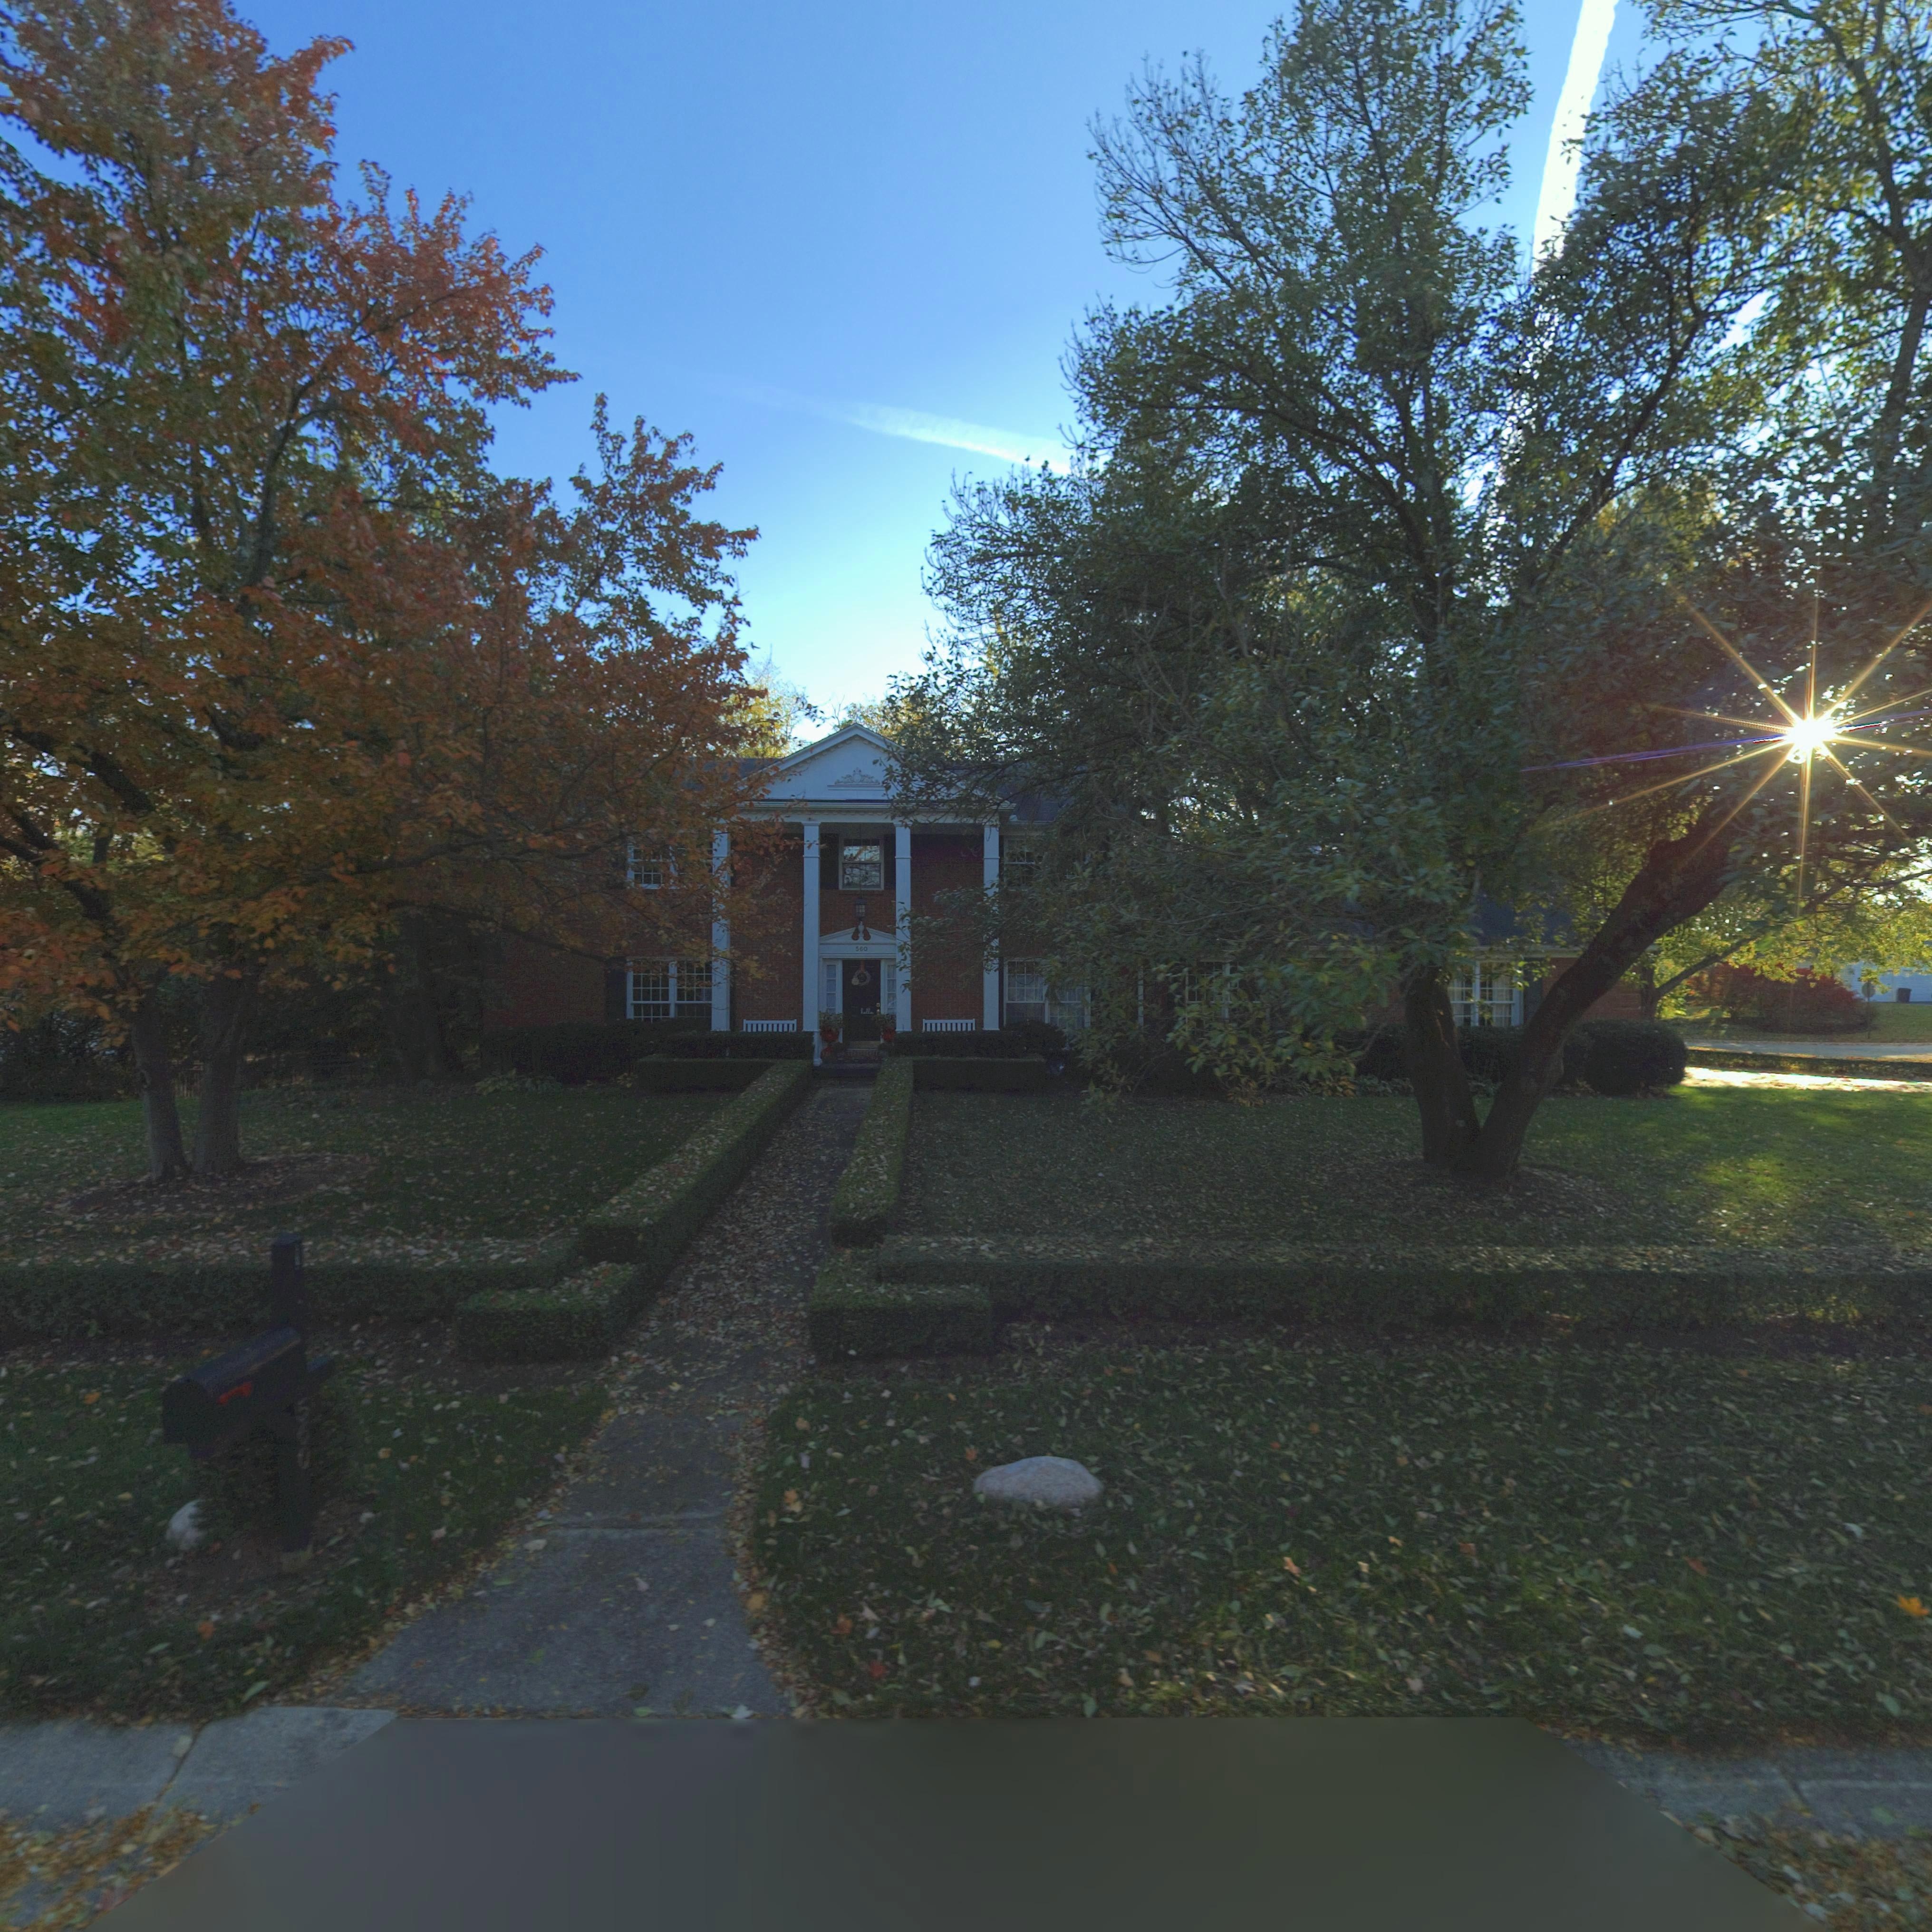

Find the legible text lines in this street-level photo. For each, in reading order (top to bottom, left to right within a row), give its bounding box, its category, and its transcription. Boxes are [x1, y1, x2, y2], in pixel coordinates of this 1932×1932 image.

[854, 946, 868, 951] StreetNumber: 560
[295, 1393, 312, 1475] StreetNumber: 560